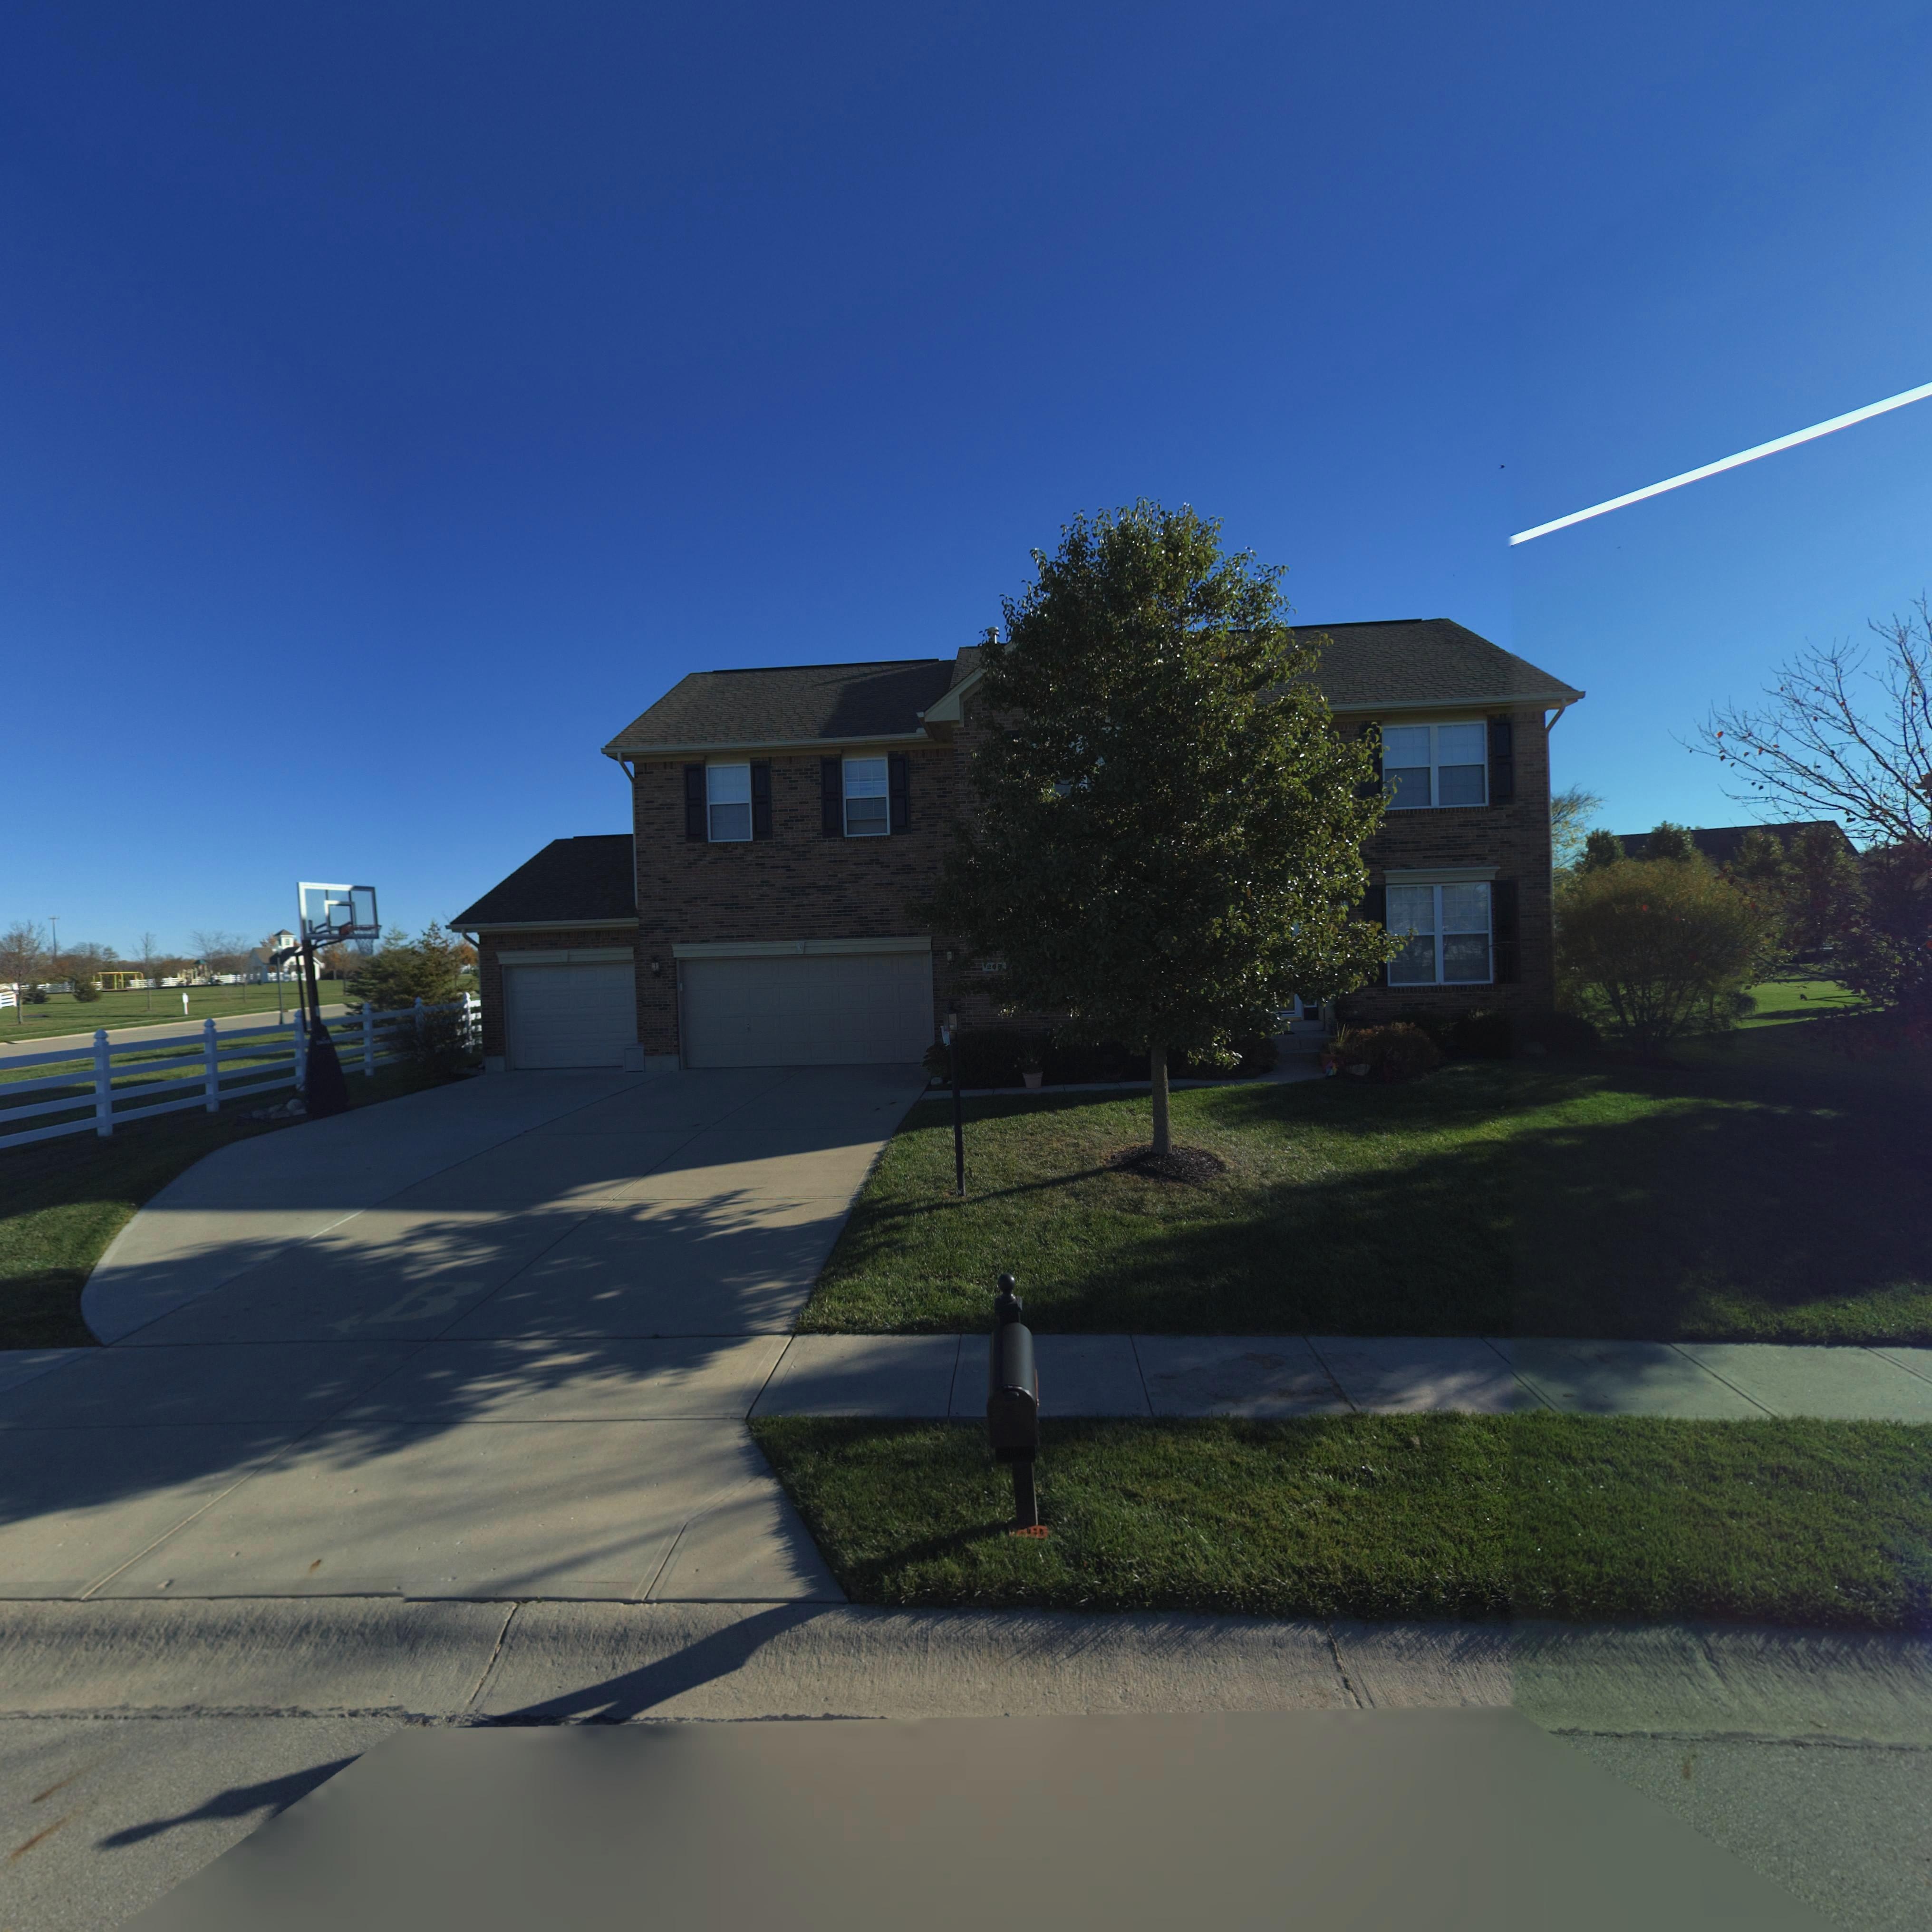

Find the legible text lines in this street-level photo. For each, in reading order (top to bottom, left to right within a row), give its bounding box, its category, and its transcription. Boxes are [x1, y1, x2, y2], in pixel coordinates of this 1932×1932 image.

[986, 963, 992, 970] StreetNumber: 2